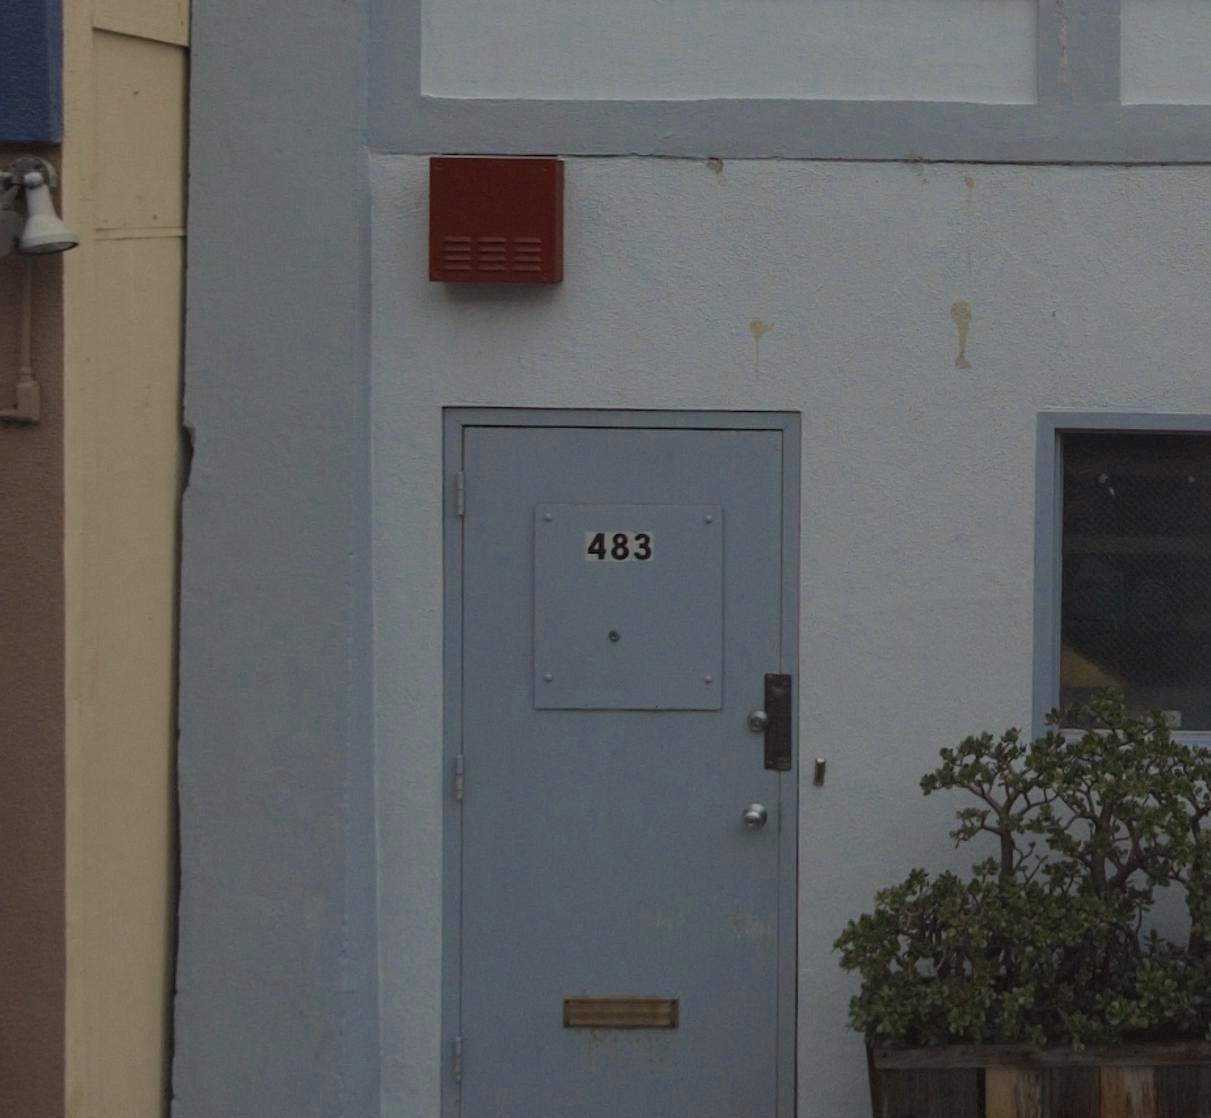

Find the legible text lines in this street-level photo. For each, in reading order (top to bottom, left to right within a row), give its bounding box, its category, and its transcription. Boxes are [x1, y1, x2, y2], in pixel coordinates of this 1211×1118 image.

[584, 530, 655, 563] StreetNumber: 483